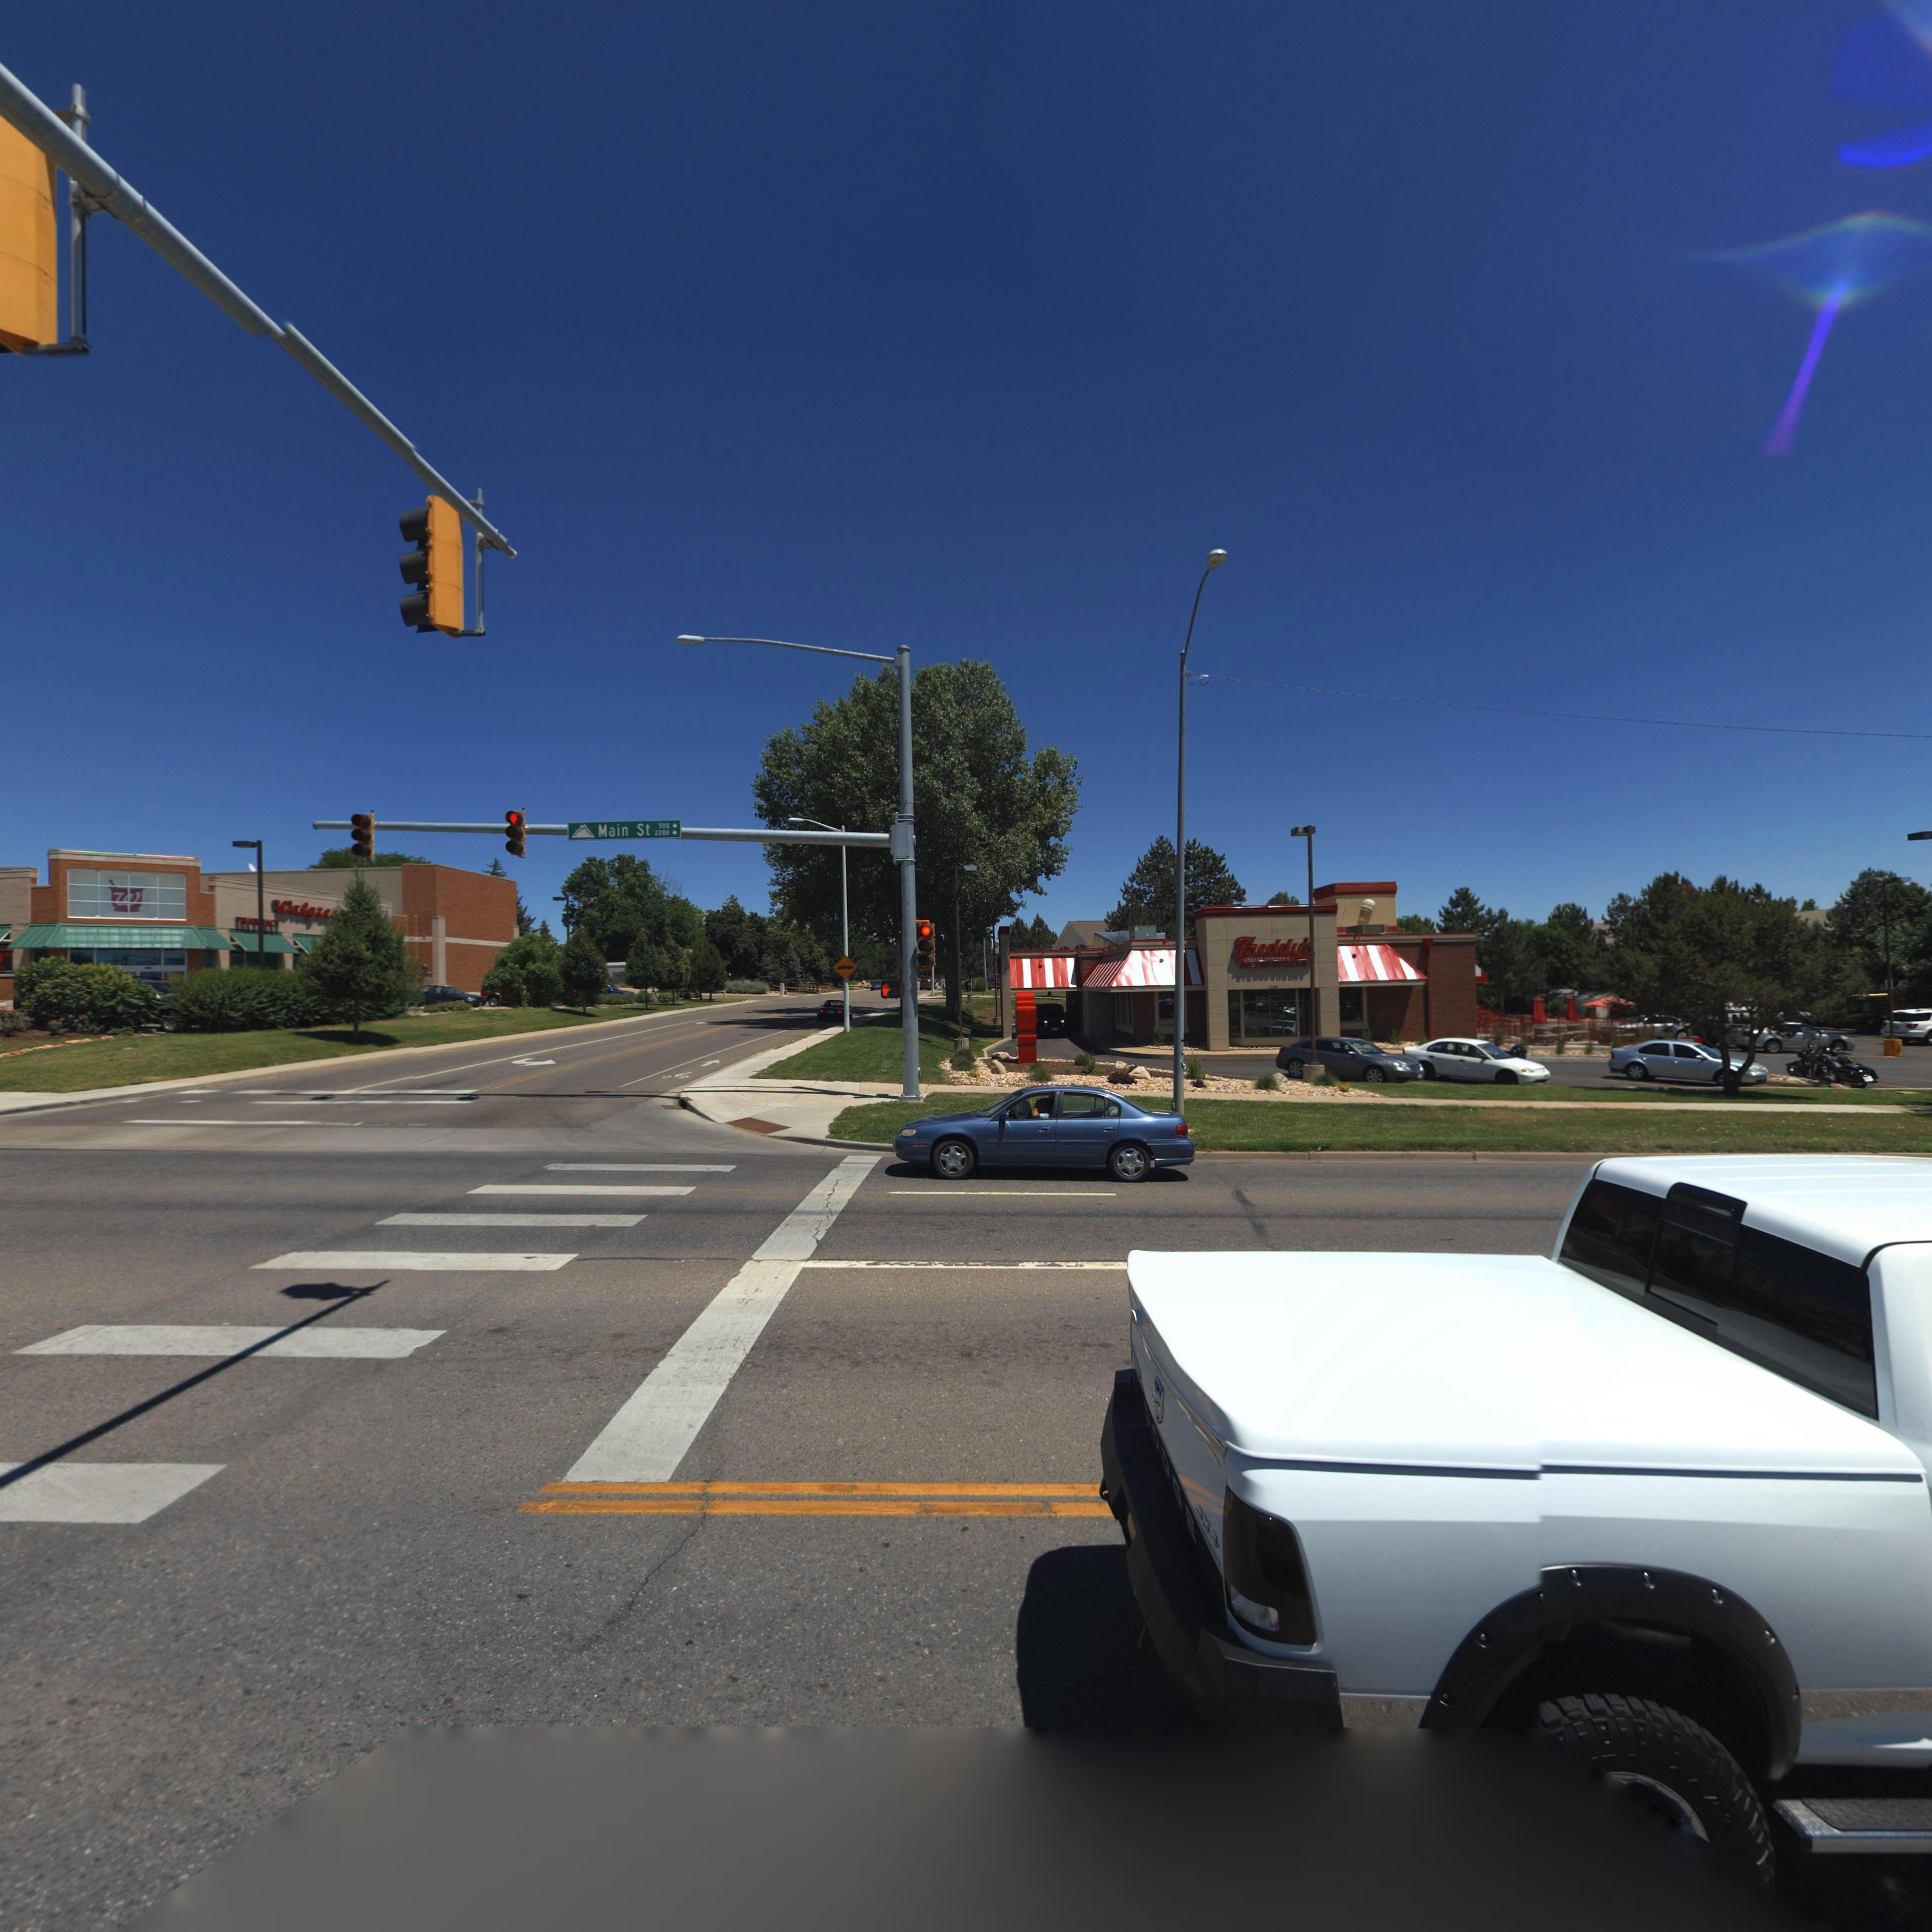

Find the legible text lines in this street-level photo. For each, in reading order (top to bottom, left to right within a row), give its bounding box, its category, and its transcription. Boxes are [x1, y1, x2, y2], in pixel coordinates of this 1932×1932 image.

[598, 823, 650, 837] StreetName: Main St
[658, 823, 669, 828] StreetNumberRange: 500
[655, 830, 677, 835] StreetNumberRange: 2200->
[273, 899, 331, 921] BusinessName: Walgre
[1231, 936, 1310, 960] BusinessName: Freddy'*